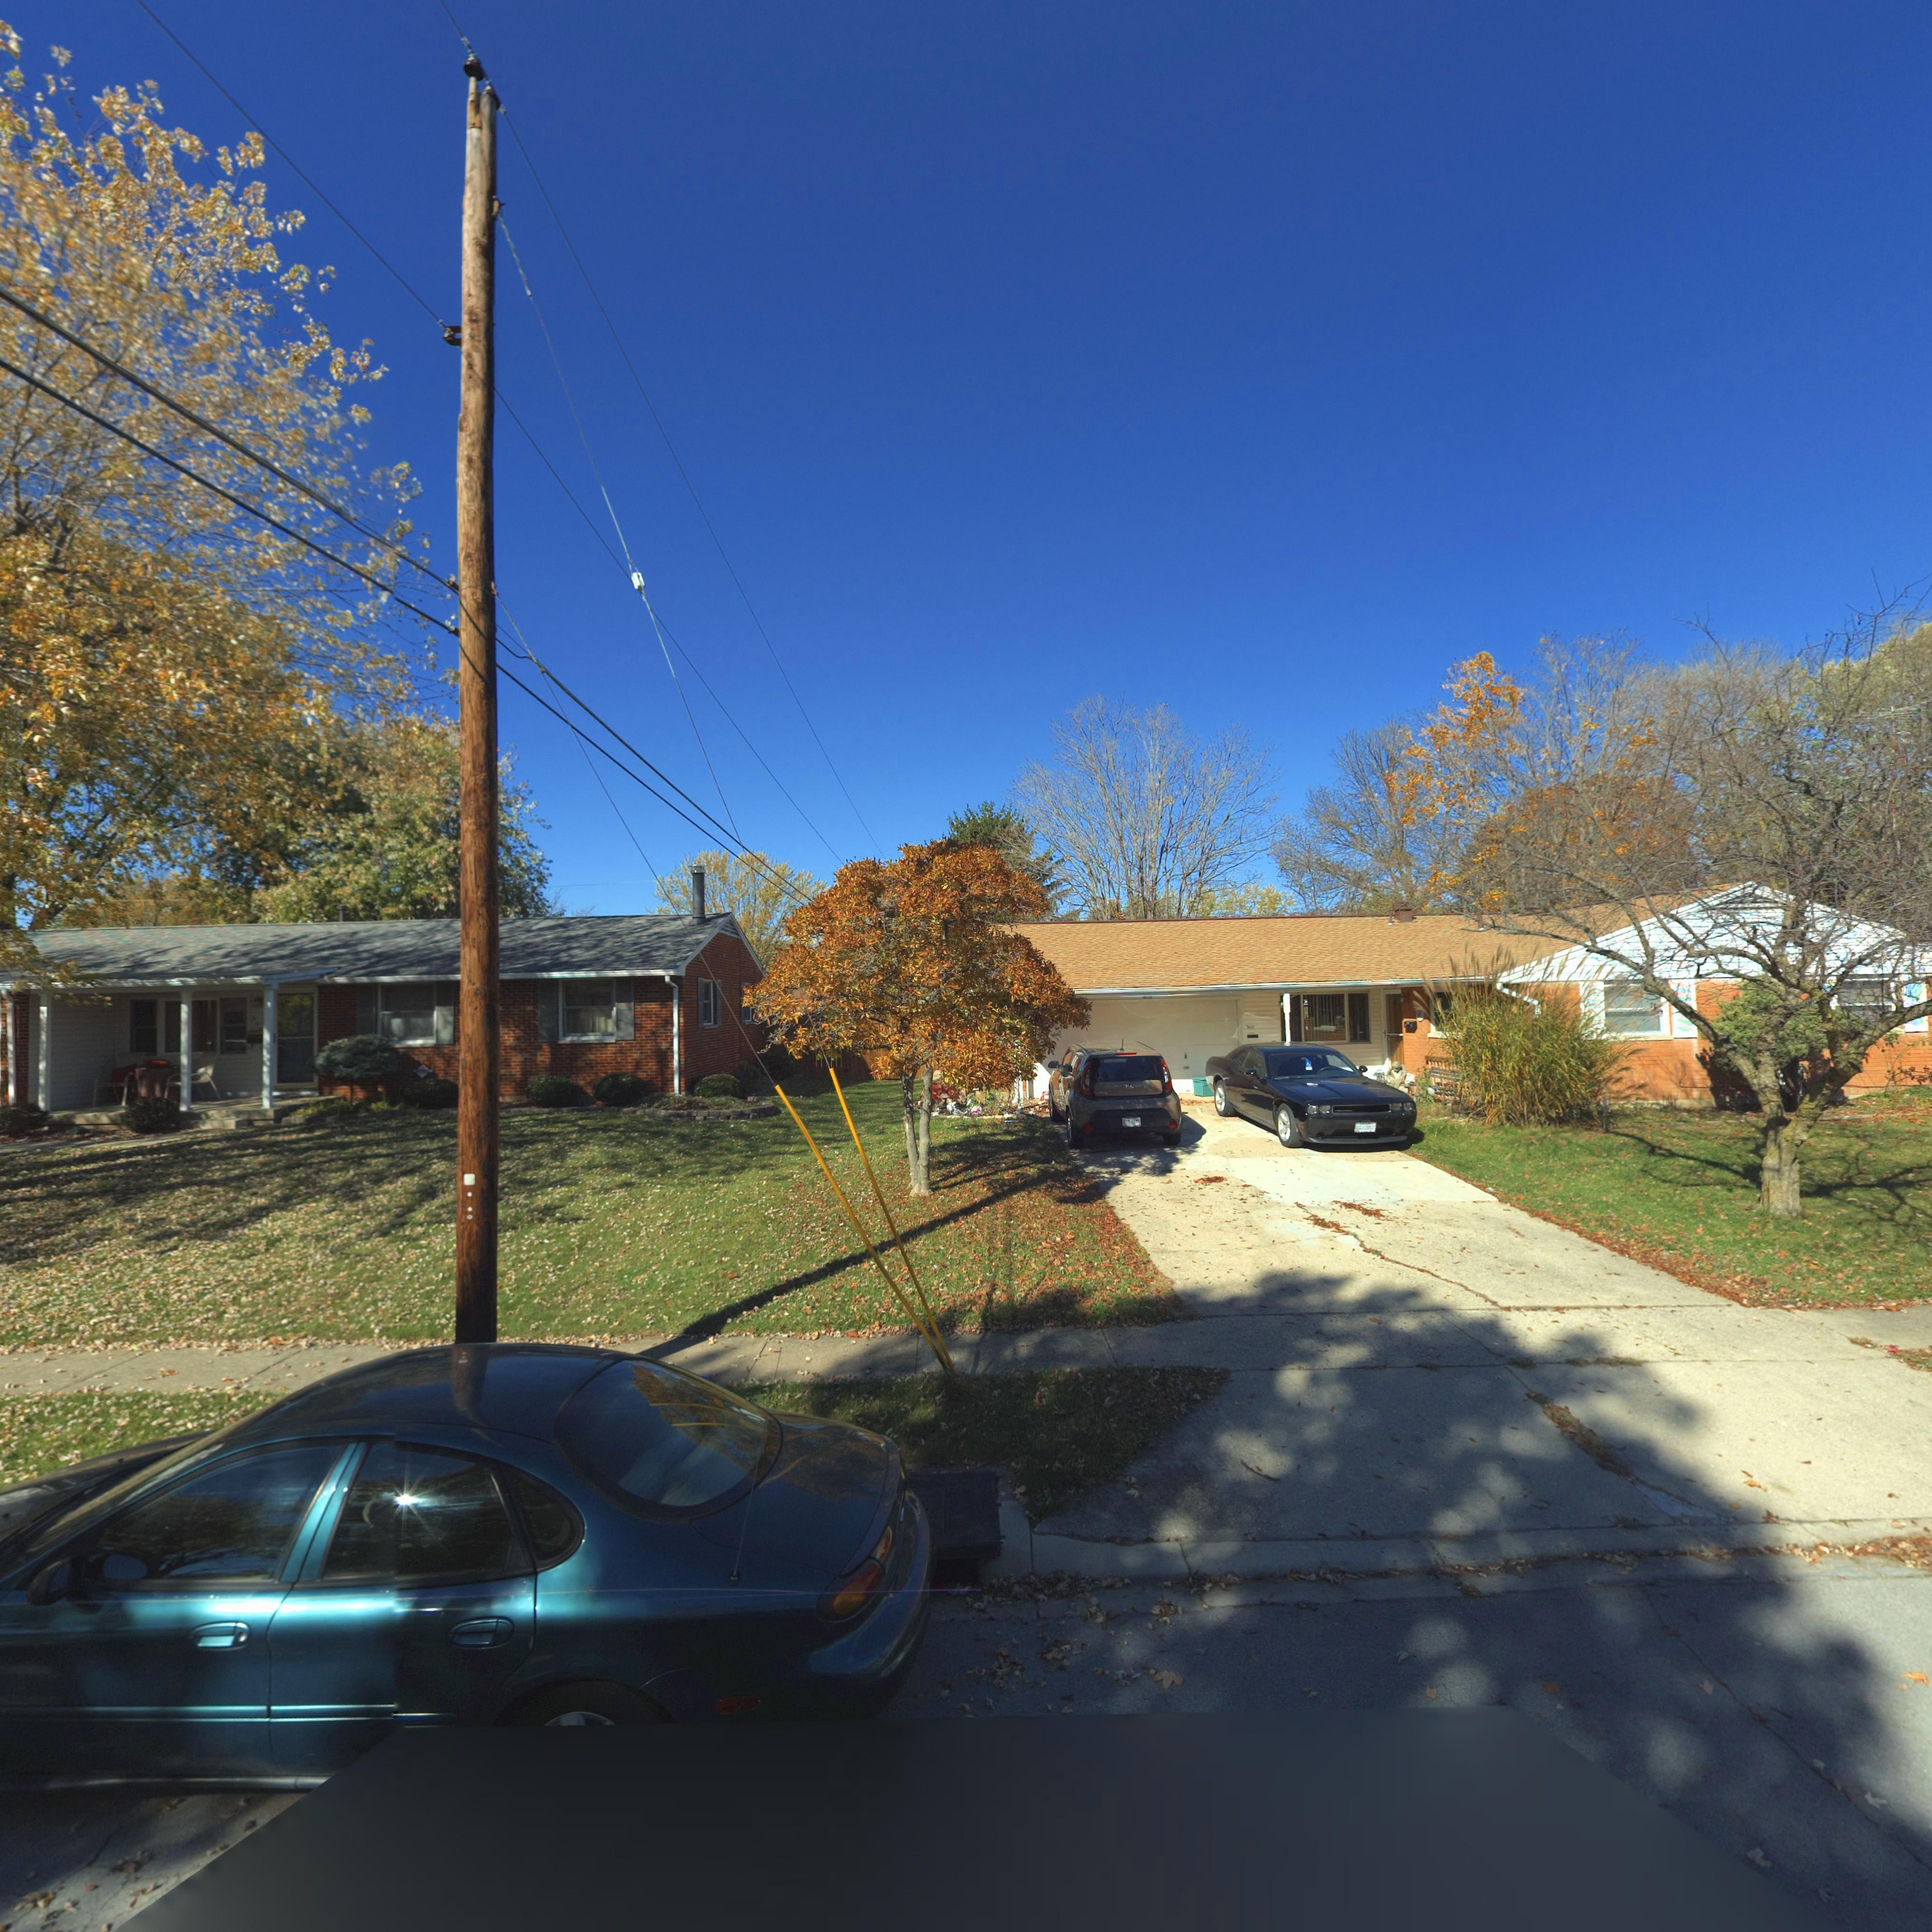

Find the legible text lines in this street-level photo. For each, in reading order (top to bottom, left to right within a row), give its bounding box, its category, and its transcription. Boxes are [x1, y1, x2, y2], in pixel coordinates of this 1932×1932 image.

[1246, 1024, 1255, 1030] StreetNumber: 305